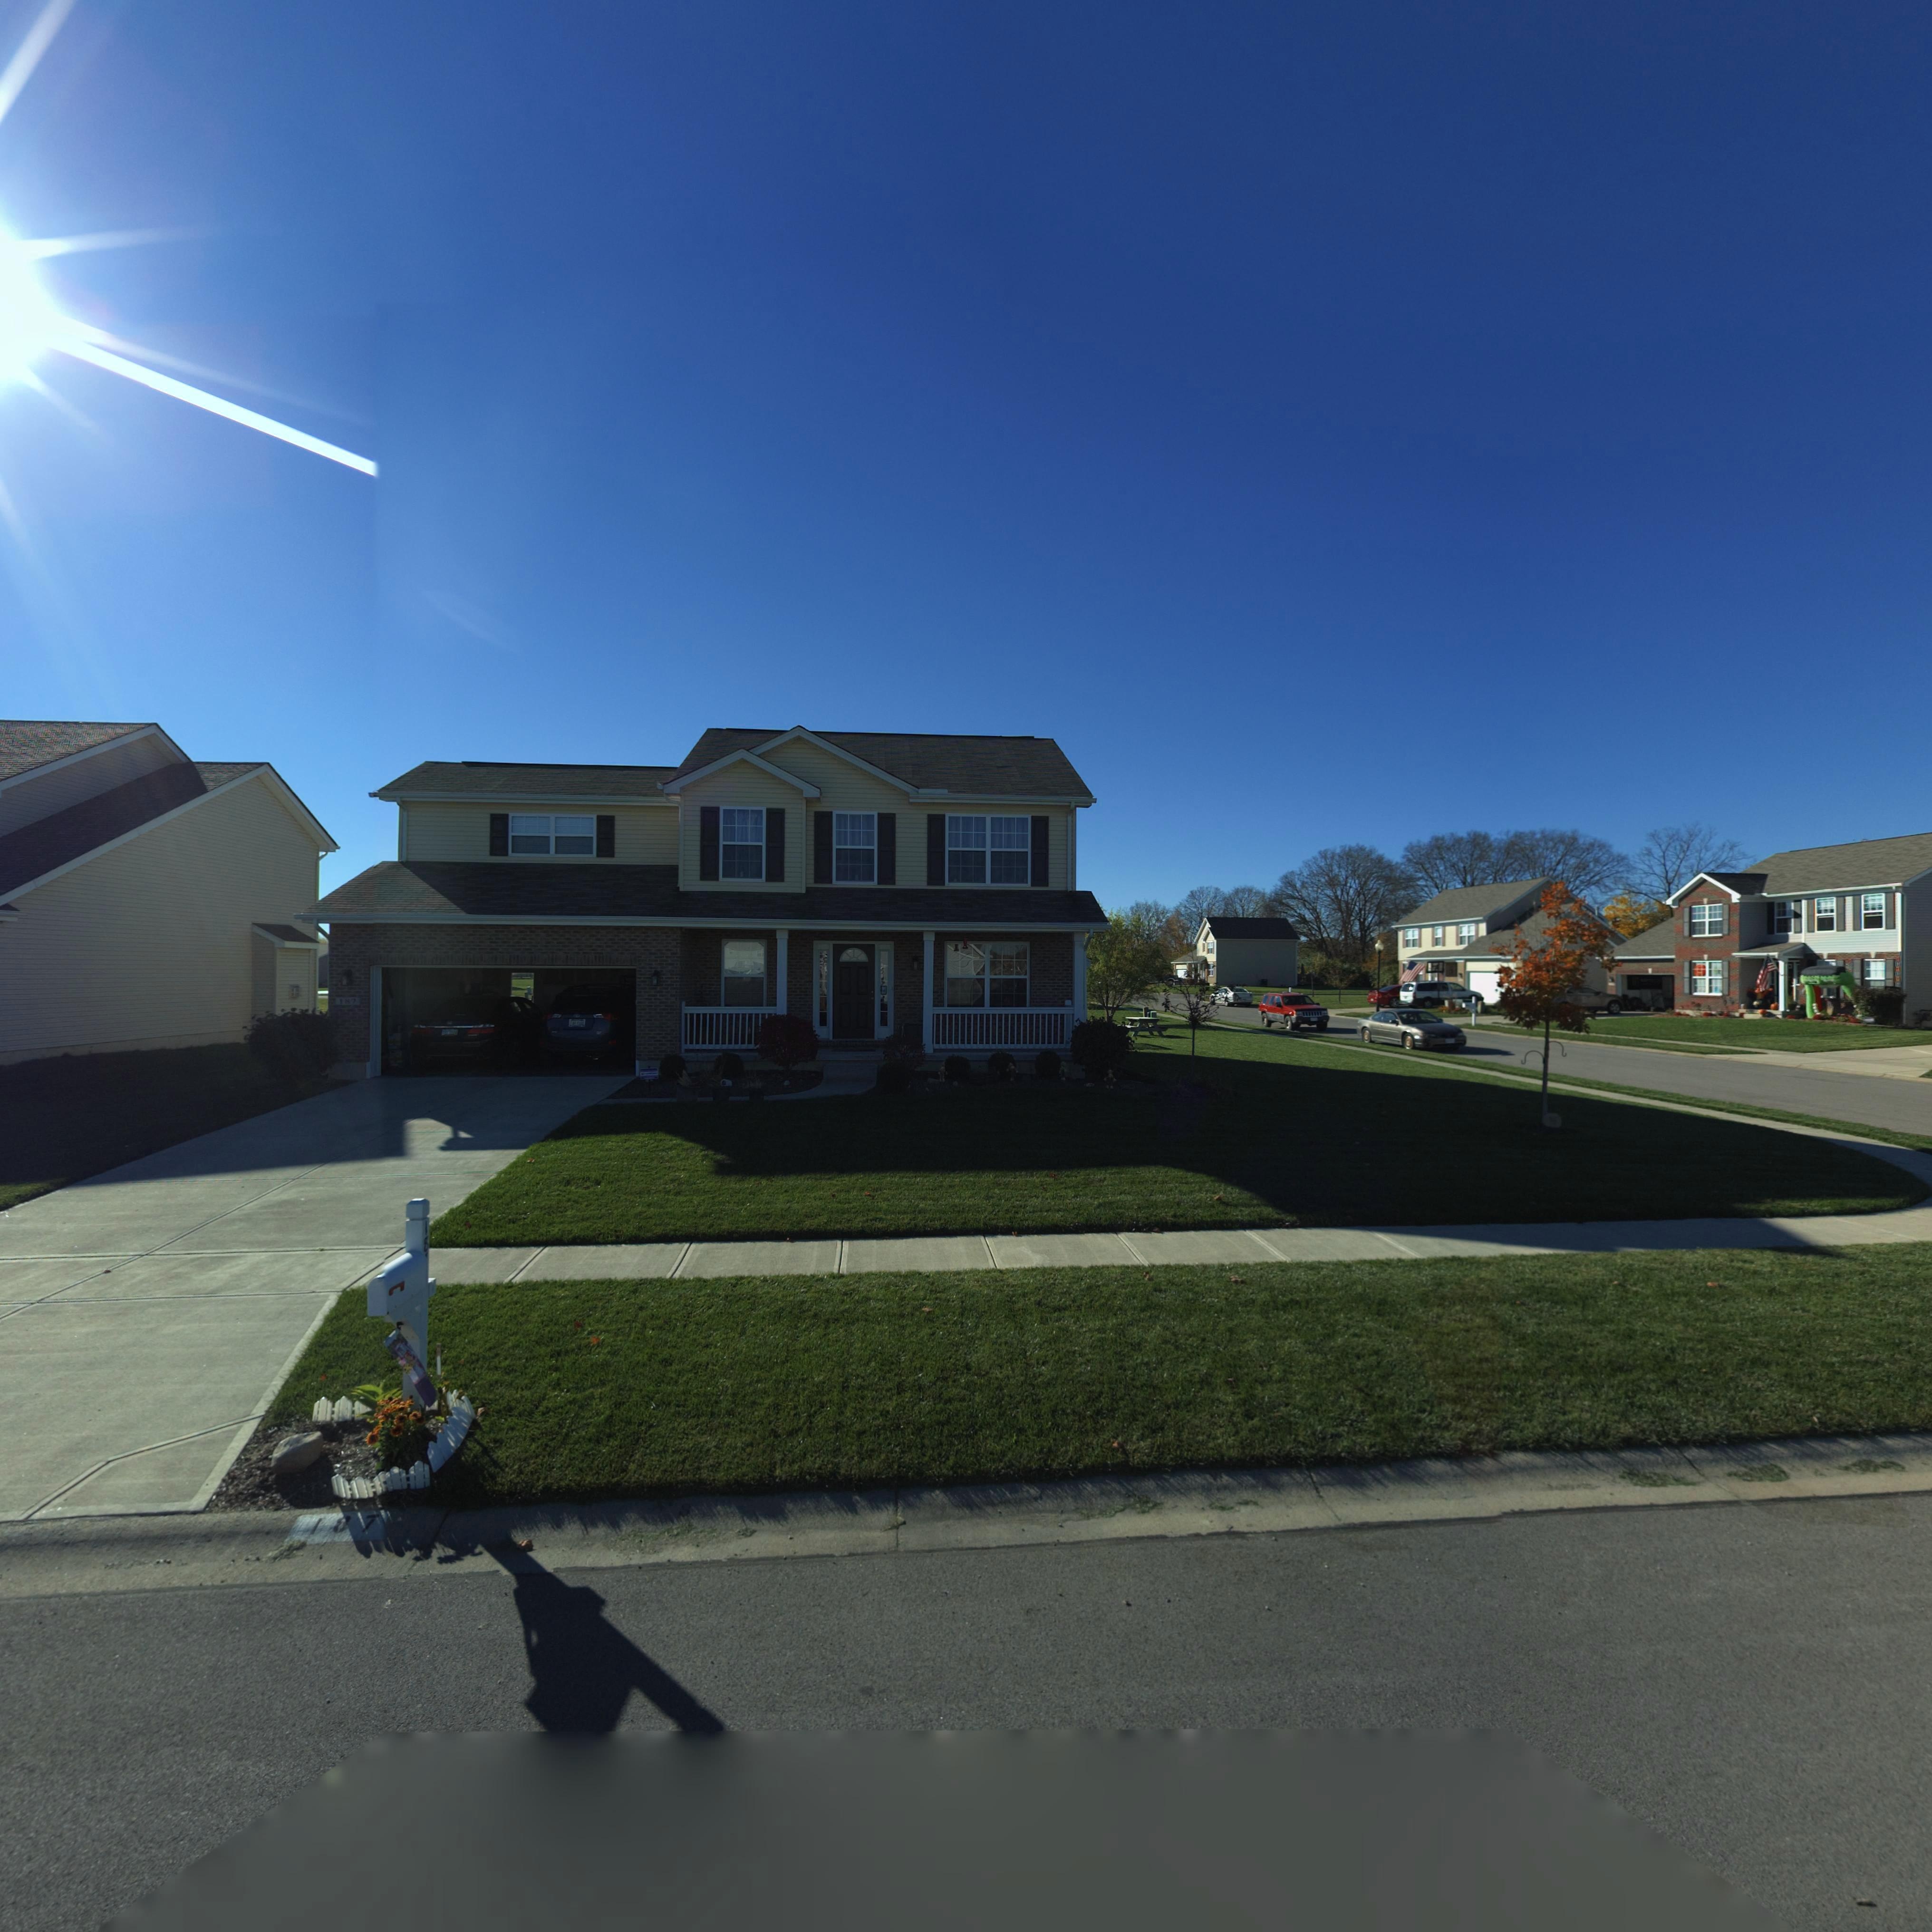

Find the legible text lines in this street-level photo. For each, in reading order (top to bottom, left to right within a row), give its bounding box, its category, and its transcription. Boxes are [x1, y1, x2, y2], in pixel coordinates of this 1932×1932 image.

[338, 997, 357, 1005] StreetNumber: 187
[422, 1219, 429, 1253] StreetNumber: 18
[308, 1514, 382, 1536] StreetNumber: 187